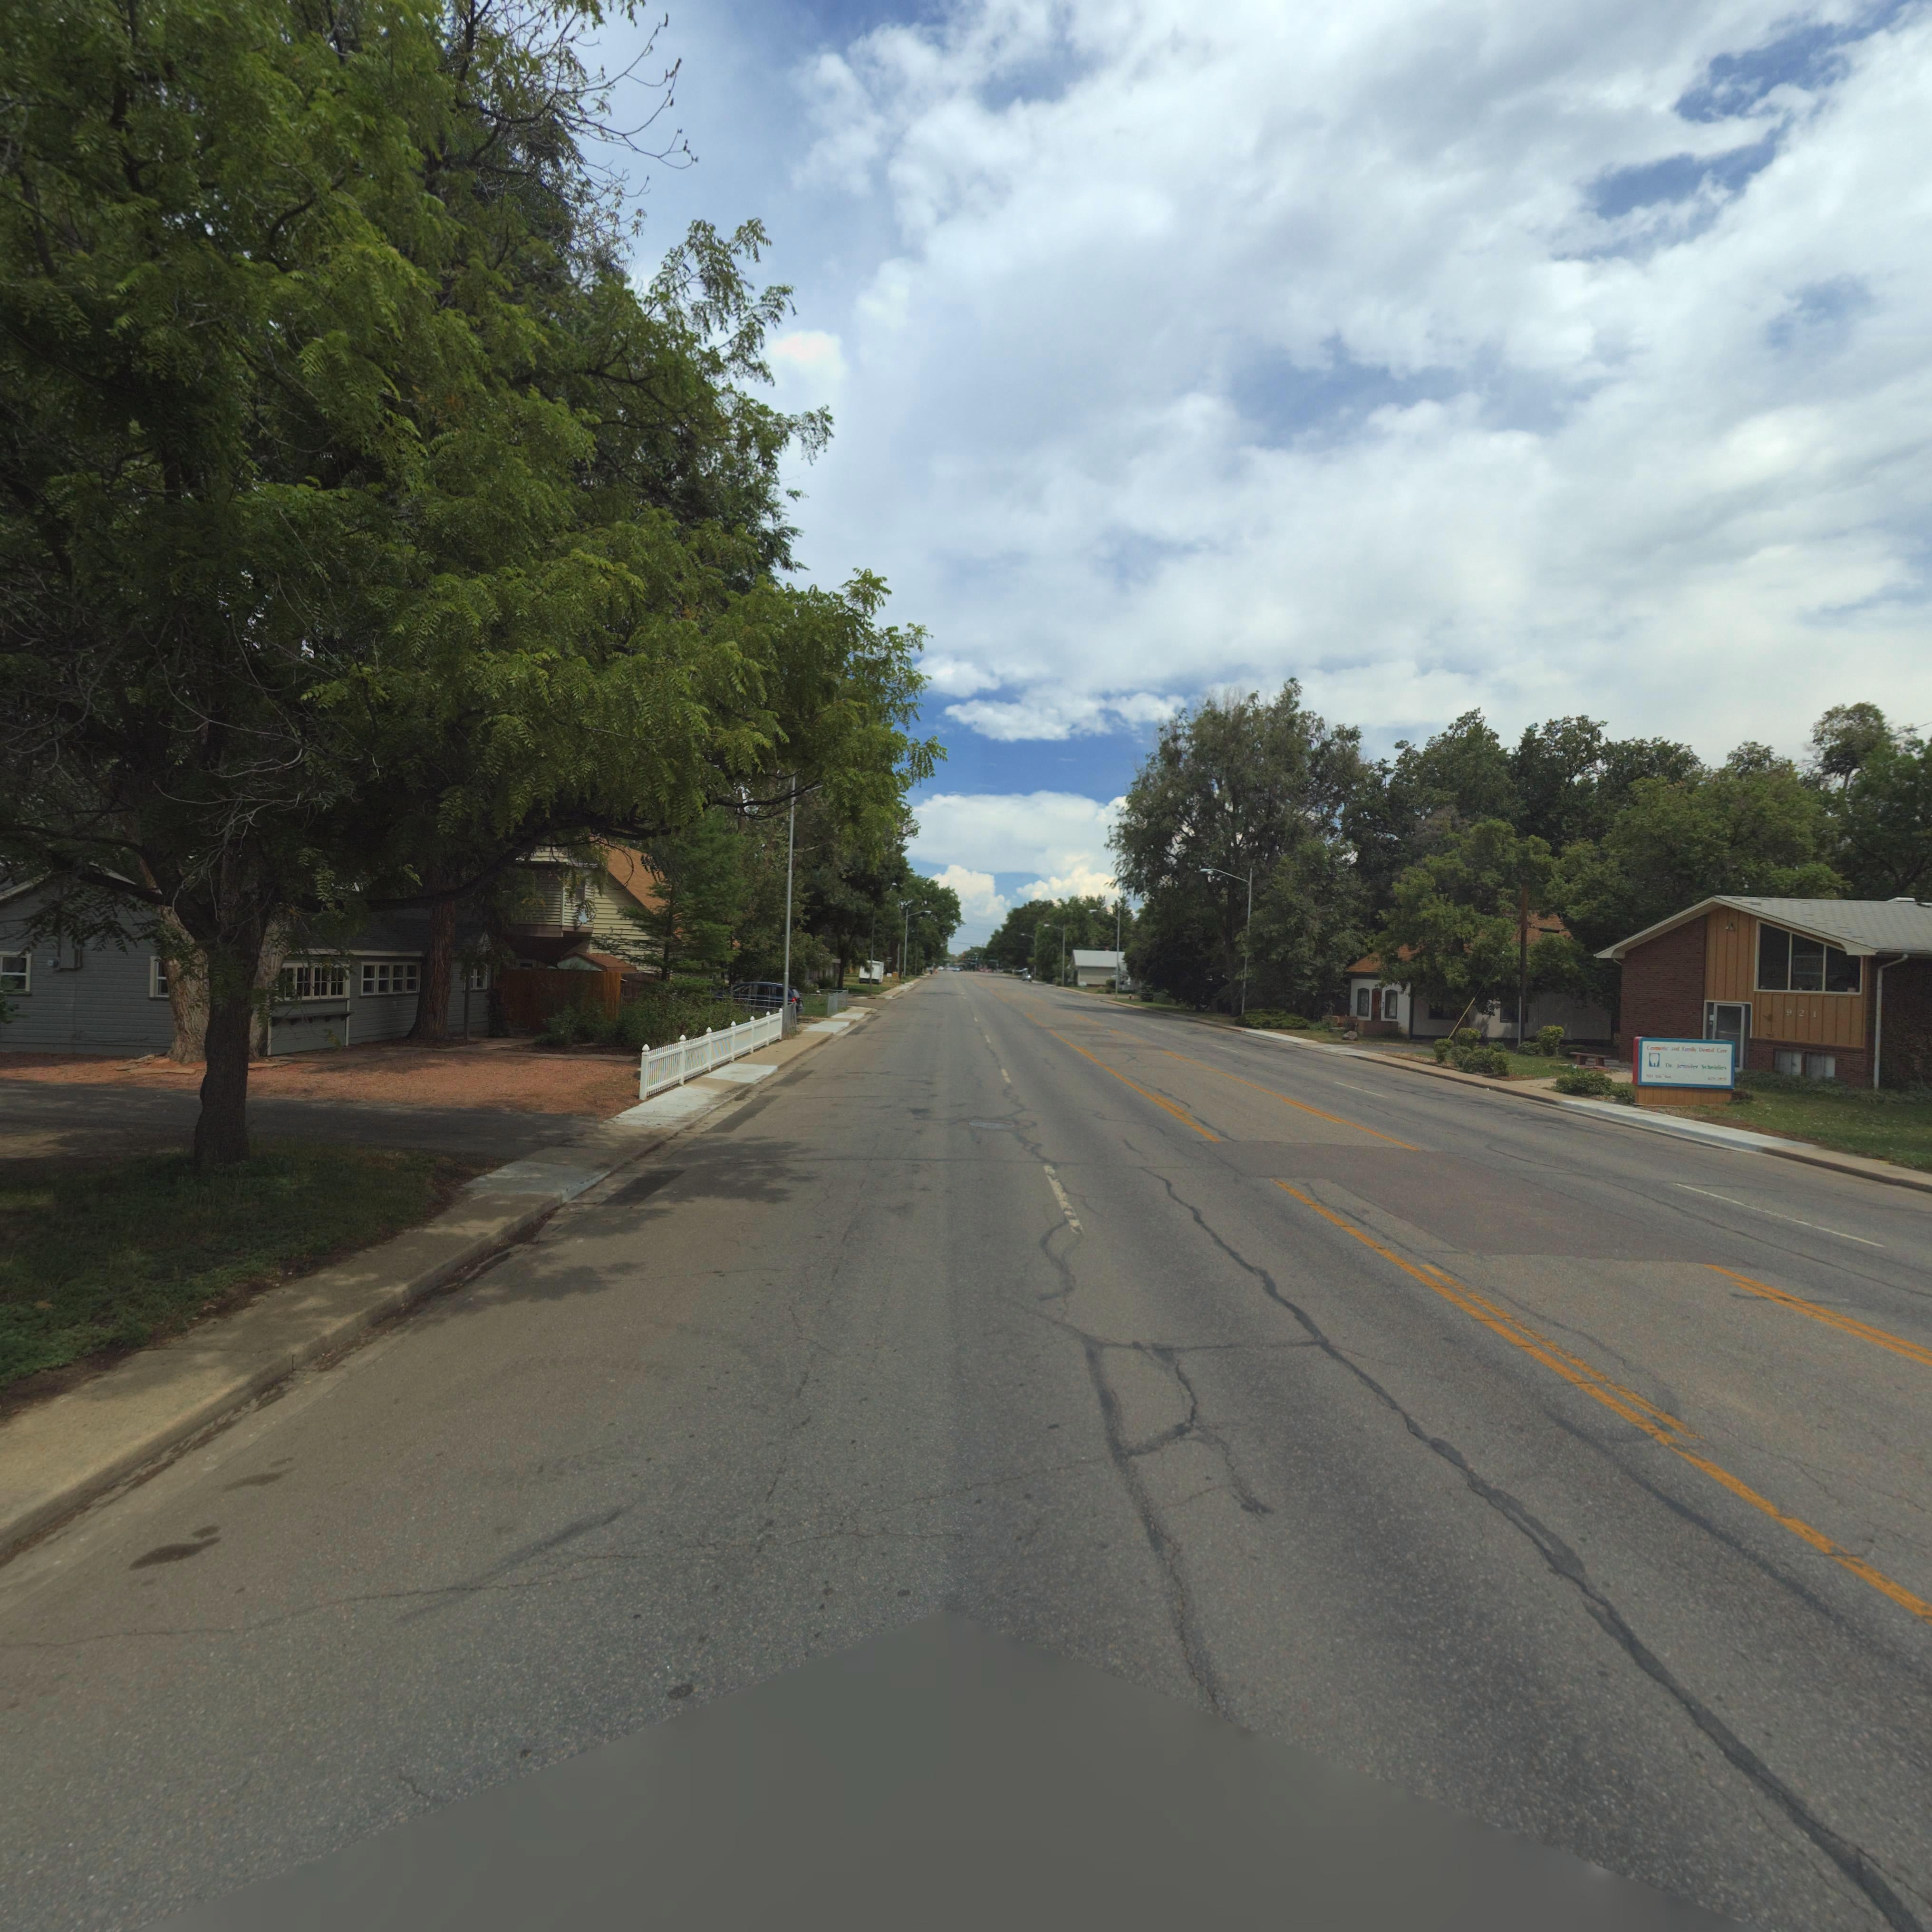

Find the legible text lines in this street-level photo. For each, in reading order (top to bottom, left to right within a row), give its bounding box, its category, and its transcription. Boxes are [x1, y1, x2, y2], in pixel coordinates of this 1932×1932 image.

[1786, 1008, 1816, 1018] StreetNumber: 921
[1646, 1044, 1727, 1053] BusinessName: Co***tic and Fam*ly Dental Care